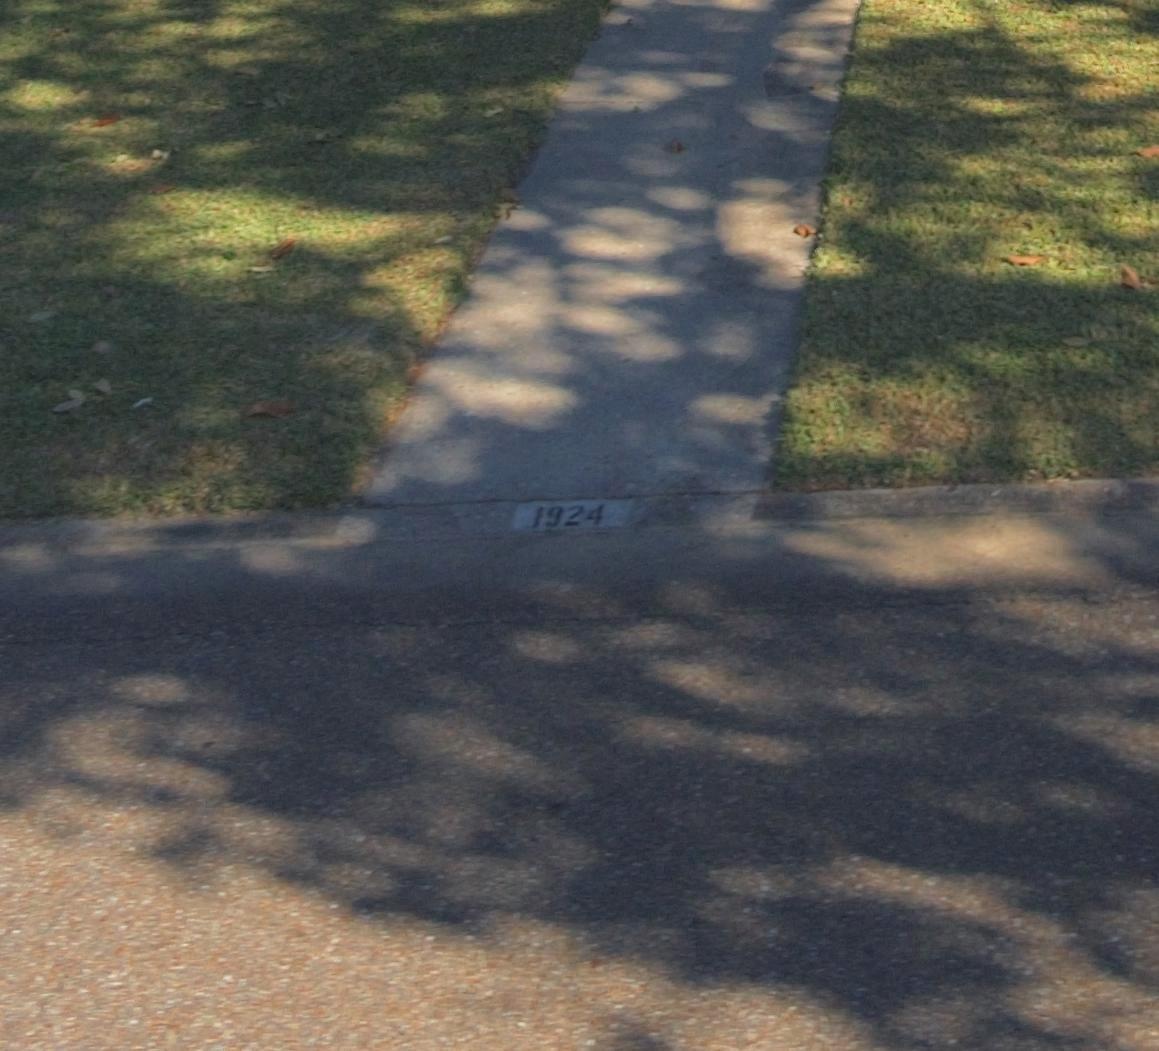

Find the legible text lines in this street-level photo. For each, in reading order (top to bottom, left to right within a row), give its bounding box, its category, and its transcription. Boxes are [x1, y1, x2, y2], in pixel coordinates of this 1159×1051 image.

[527, 500, 608, 531] StreetNumber: 1924